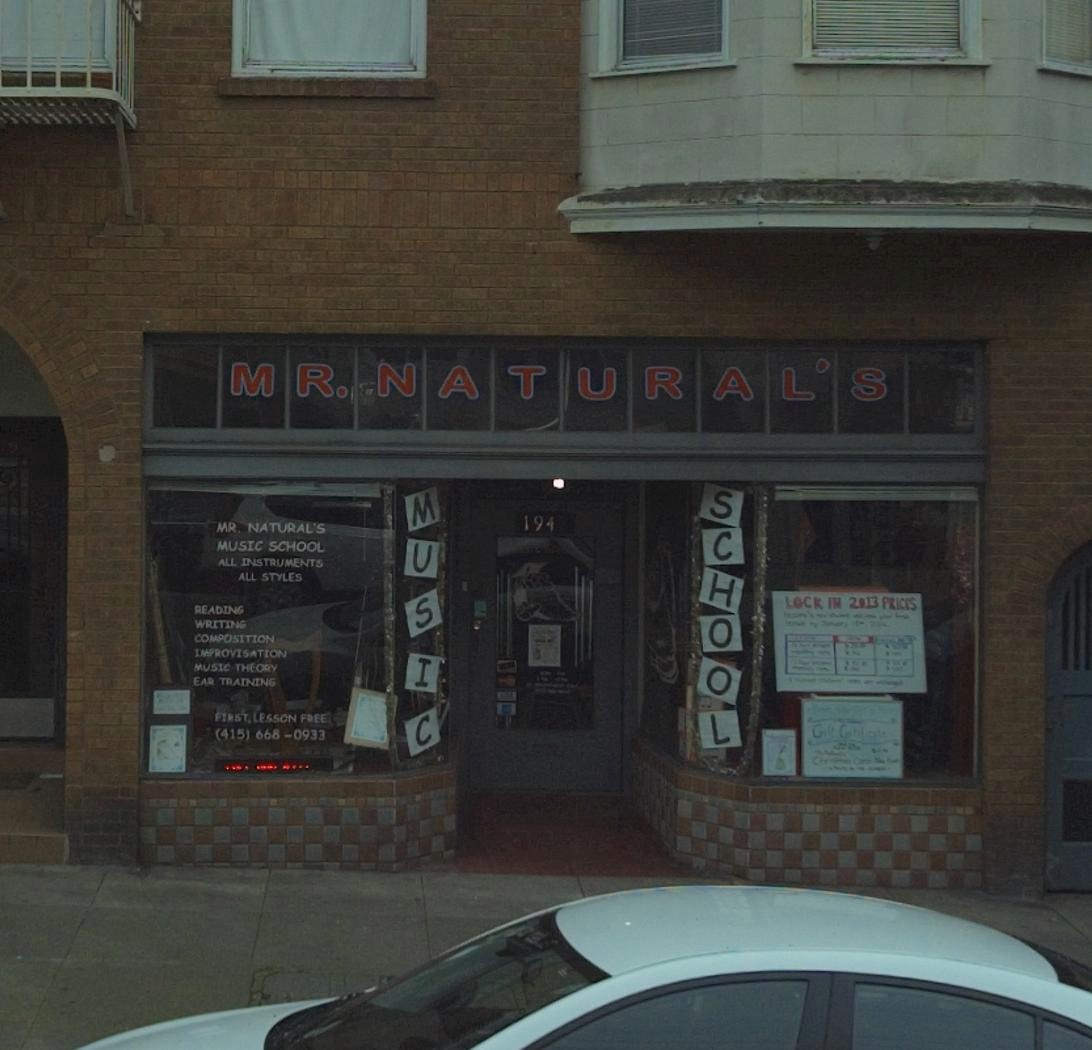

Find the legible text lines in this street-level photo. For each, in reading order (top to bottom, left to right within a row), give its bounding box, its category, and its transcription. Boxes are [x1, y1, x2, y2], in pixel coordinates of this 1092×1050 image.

[229, 356, 888, 403] BusinessName: MR. NATURAL'S
[410, 490, 440, 530] None: M
[707, 488, 735, 520] None: S
[214, 519, 323, 534] BusinessName: MR. NATURAL'S
[522, 513, 557, 534] StreetNumber: 1945
[214, 537, 324, 552] BusinessName: MUSIC SCHOOL
[710, 530, 734, 562] None: C
[216, 554, 322, 568] None: ALL INSTRUMENTS
[411, 541, 434, 575] None: U
[236, 569, 302, 583] None: ALL STYLES
[706, 569, 737, 611] None: H
[192, 601, 243, 614] None: READING
[192, 617, 246, 629] None: WRITING
[192, 631, 278, 645] None: COMPSITION
[412, 594, 436, 632] None: S
[707, 617, 736, 649] None: O
[782, 593, 916, 613] None: LOCK IN 2013 PRICES
[191, 644, 286, 659] None: IMPROVISATION
[192, 674, 275, 688] None: EAR TRAINING
[192, 660, 277, 674] None: MUSIC THEORY
[413, 656, 432, 689] None: I
[704, 665, 734, 696] None: O
[212, 710, 327, 724] None: FIRST, LESSON FREE
[212, 725, 324, 741] None: (415) 668-0933
[414, 712, 434, 748] None: C
[707, 711, 733, 748] None: L